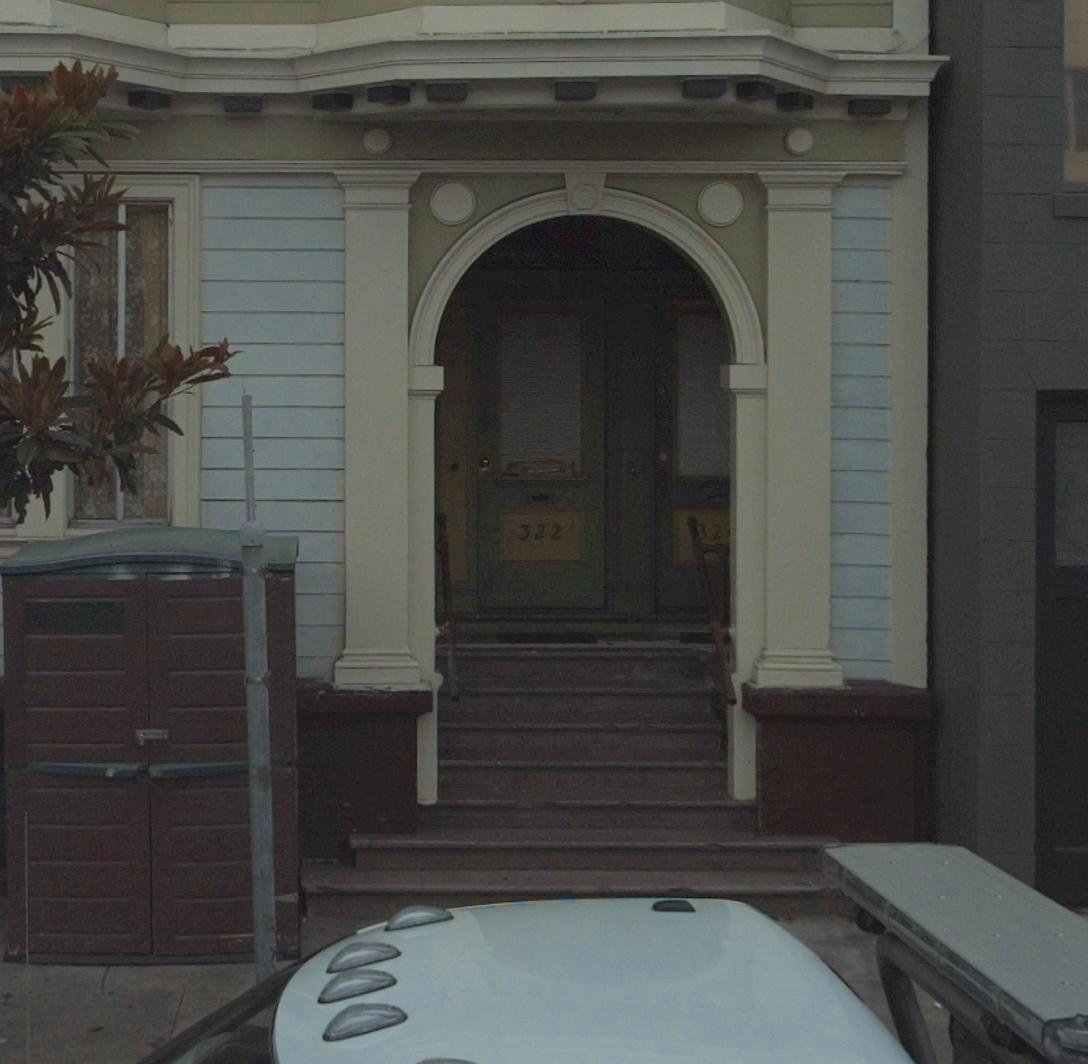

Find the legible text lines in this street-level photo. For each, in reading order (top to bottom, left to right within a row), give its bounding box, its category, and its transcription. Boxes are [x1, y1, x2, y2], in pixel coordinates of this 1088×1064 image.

[516, 521, 563, 542] StreetNumber: 322
[695, 521, 724, 542] StreetNumber: 32